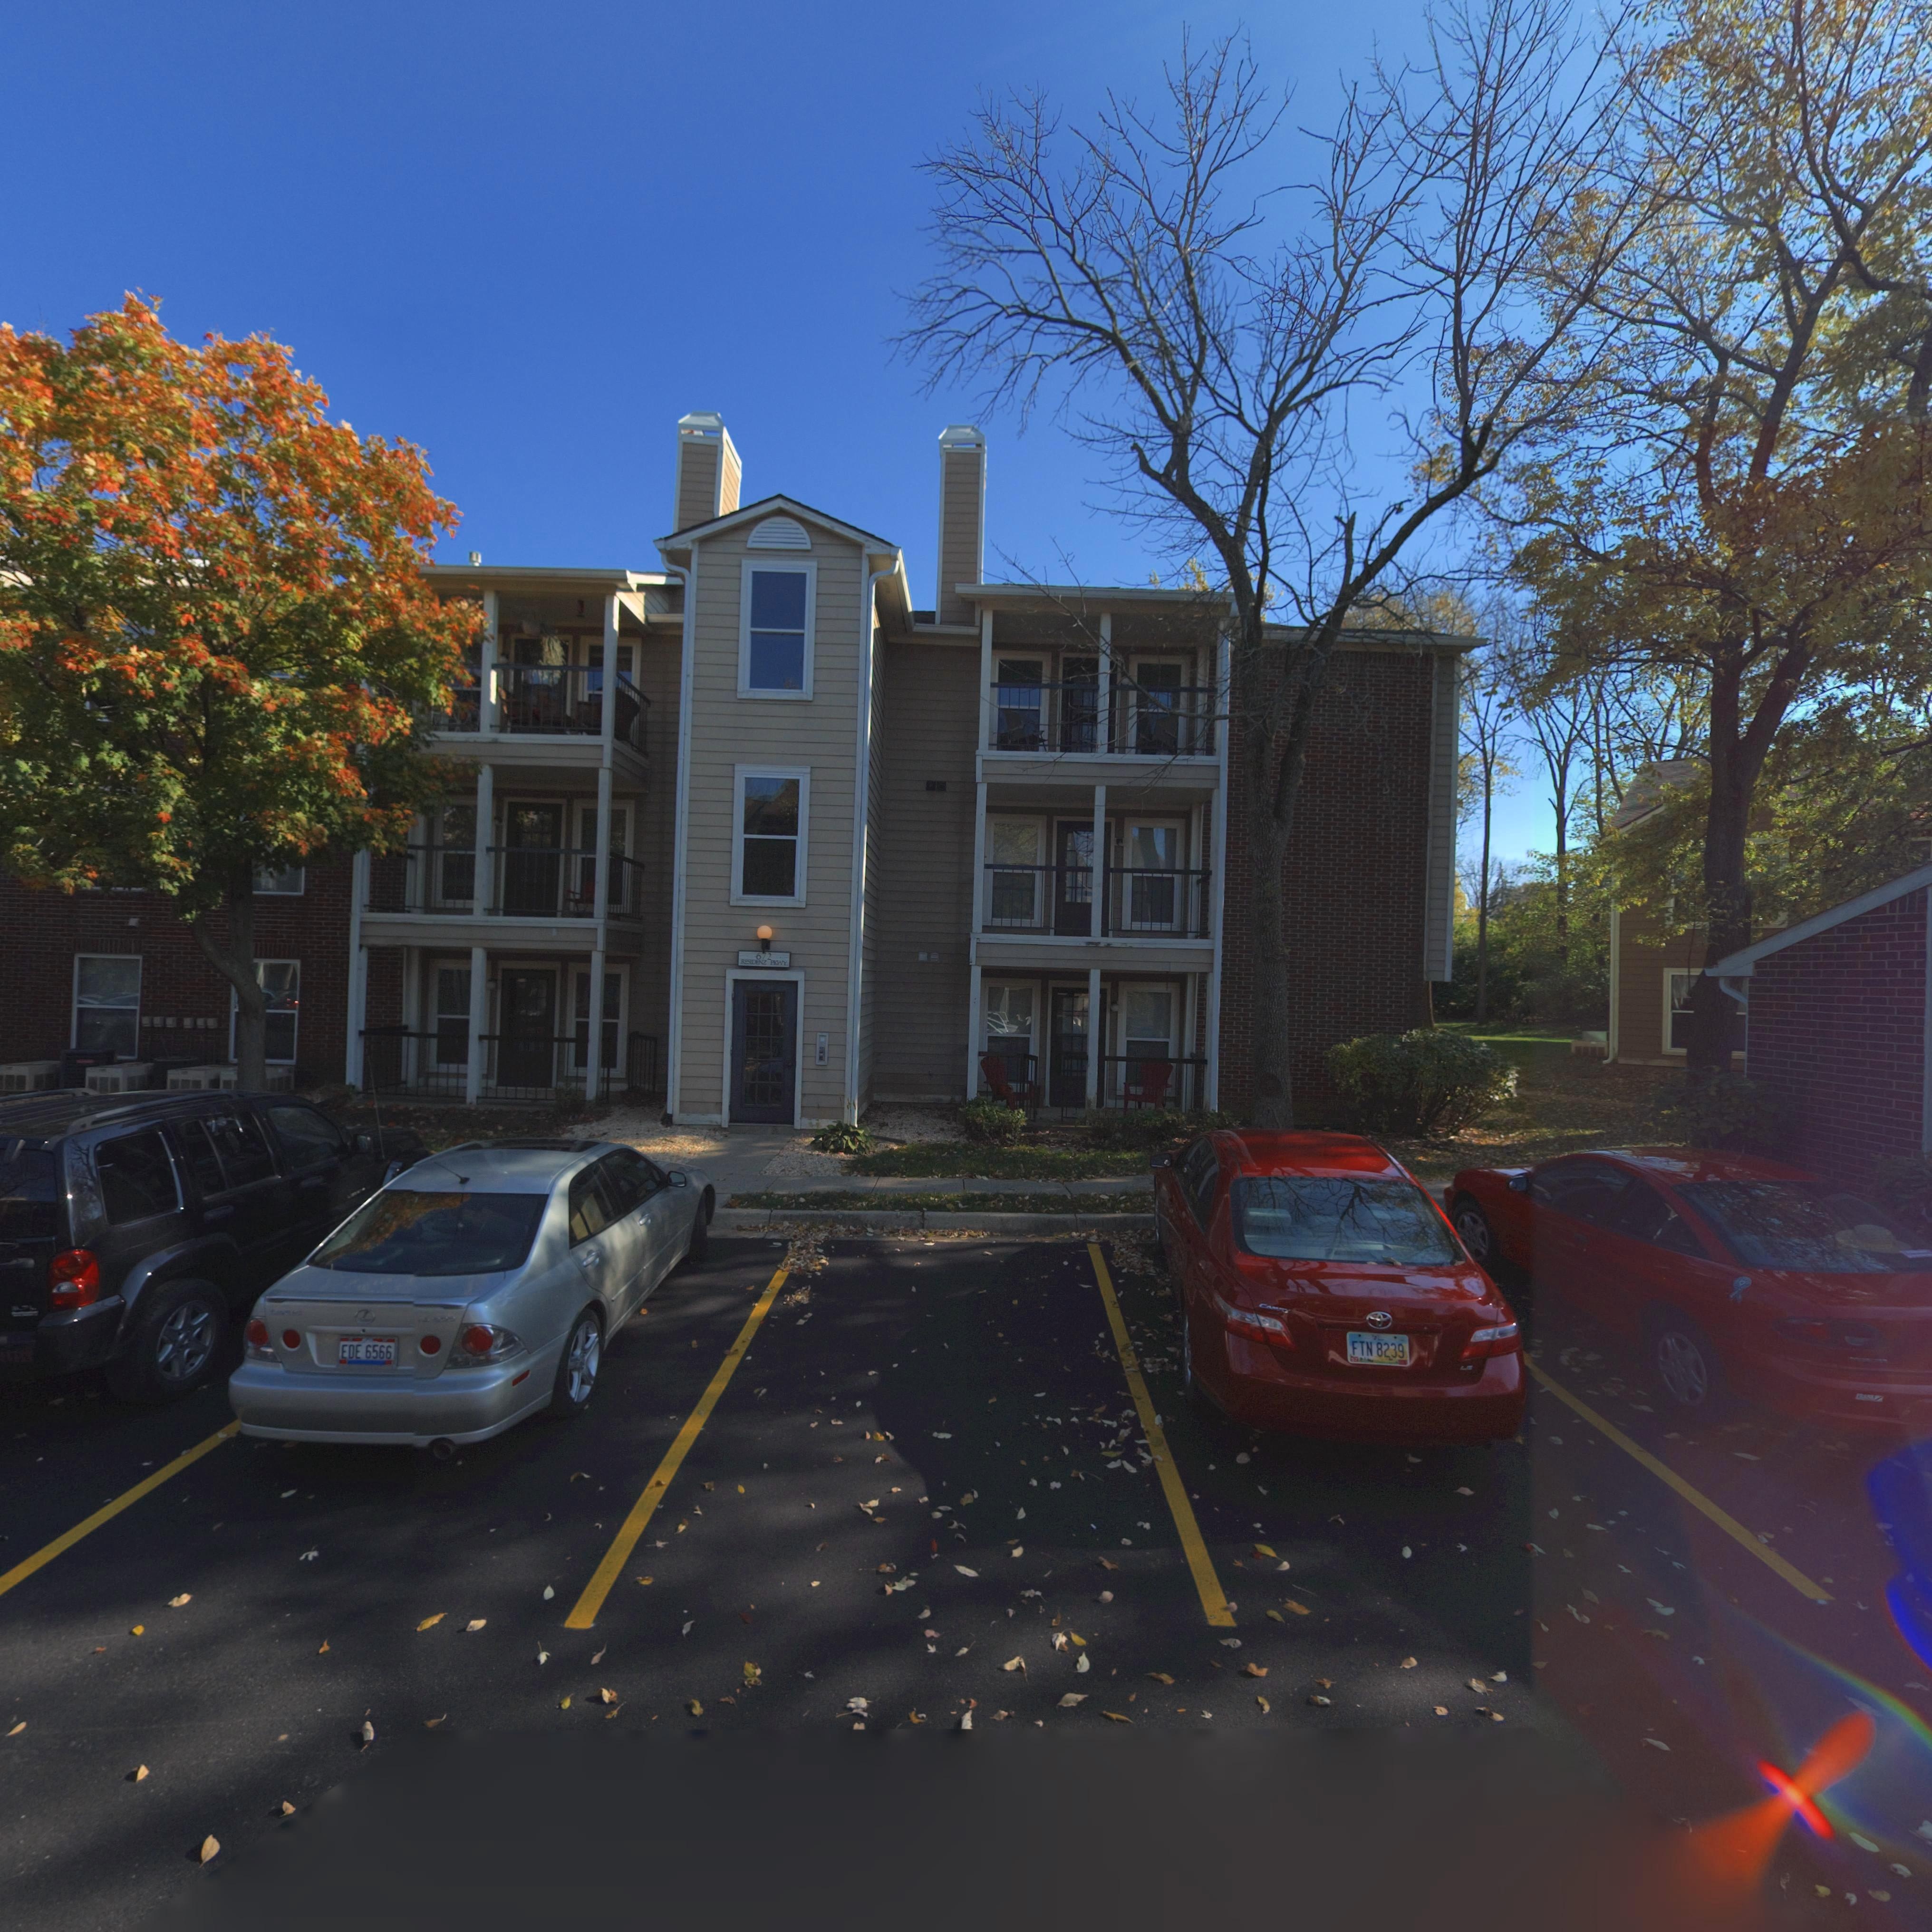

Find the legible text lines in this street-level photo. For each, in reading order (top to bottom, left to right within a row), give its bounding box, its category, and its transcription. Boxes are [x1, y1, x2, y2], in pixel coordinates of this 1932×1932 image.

[755, 951, 773, 961] StreetNumber: 672
[740, 958, 788, 966] StreetName: R**DENZ PKWY
[340, 1343, 393, 1361] None: EDE 6566
[1351, 1339, 1406, 1360] None: FTN 8239